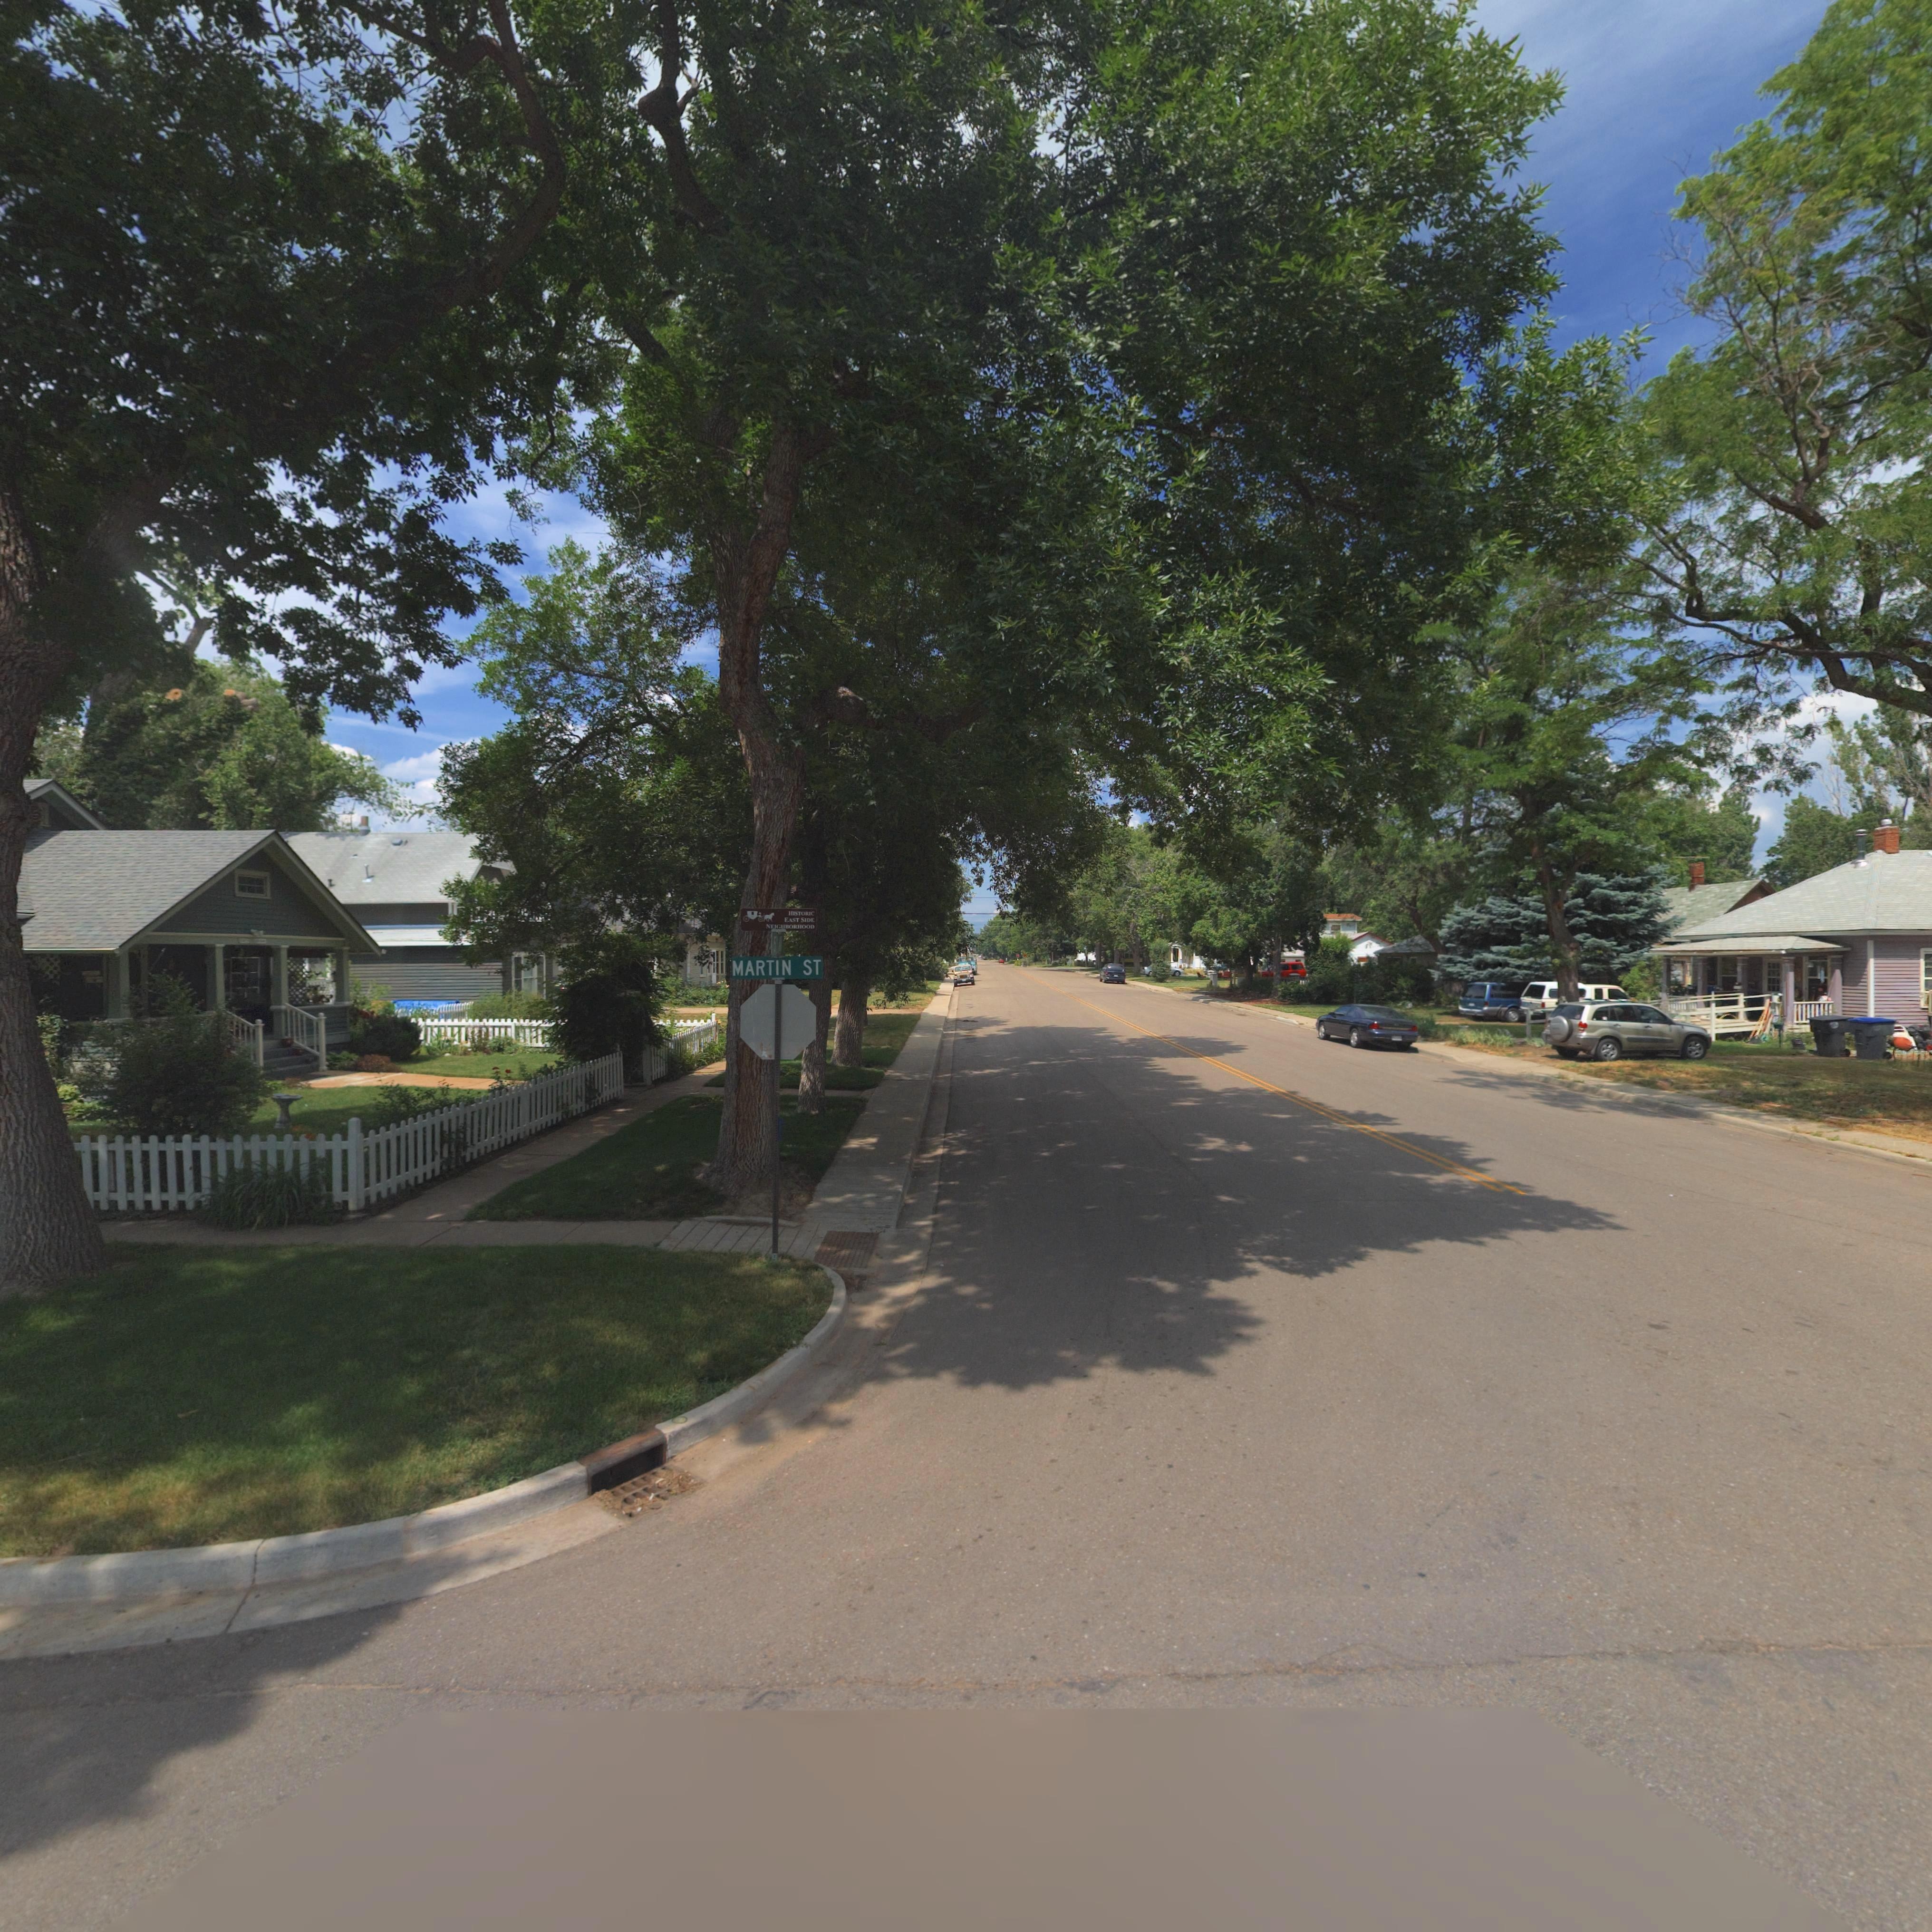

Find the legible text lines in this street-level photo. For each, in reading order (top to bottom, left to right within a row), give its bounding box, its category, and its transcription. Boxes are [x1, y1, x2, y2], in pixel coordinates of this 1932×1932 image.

[773, 935, 783, 952] StreetName: 5** A*
[732, 959, 821, 976] StreetName: MARTIN ST